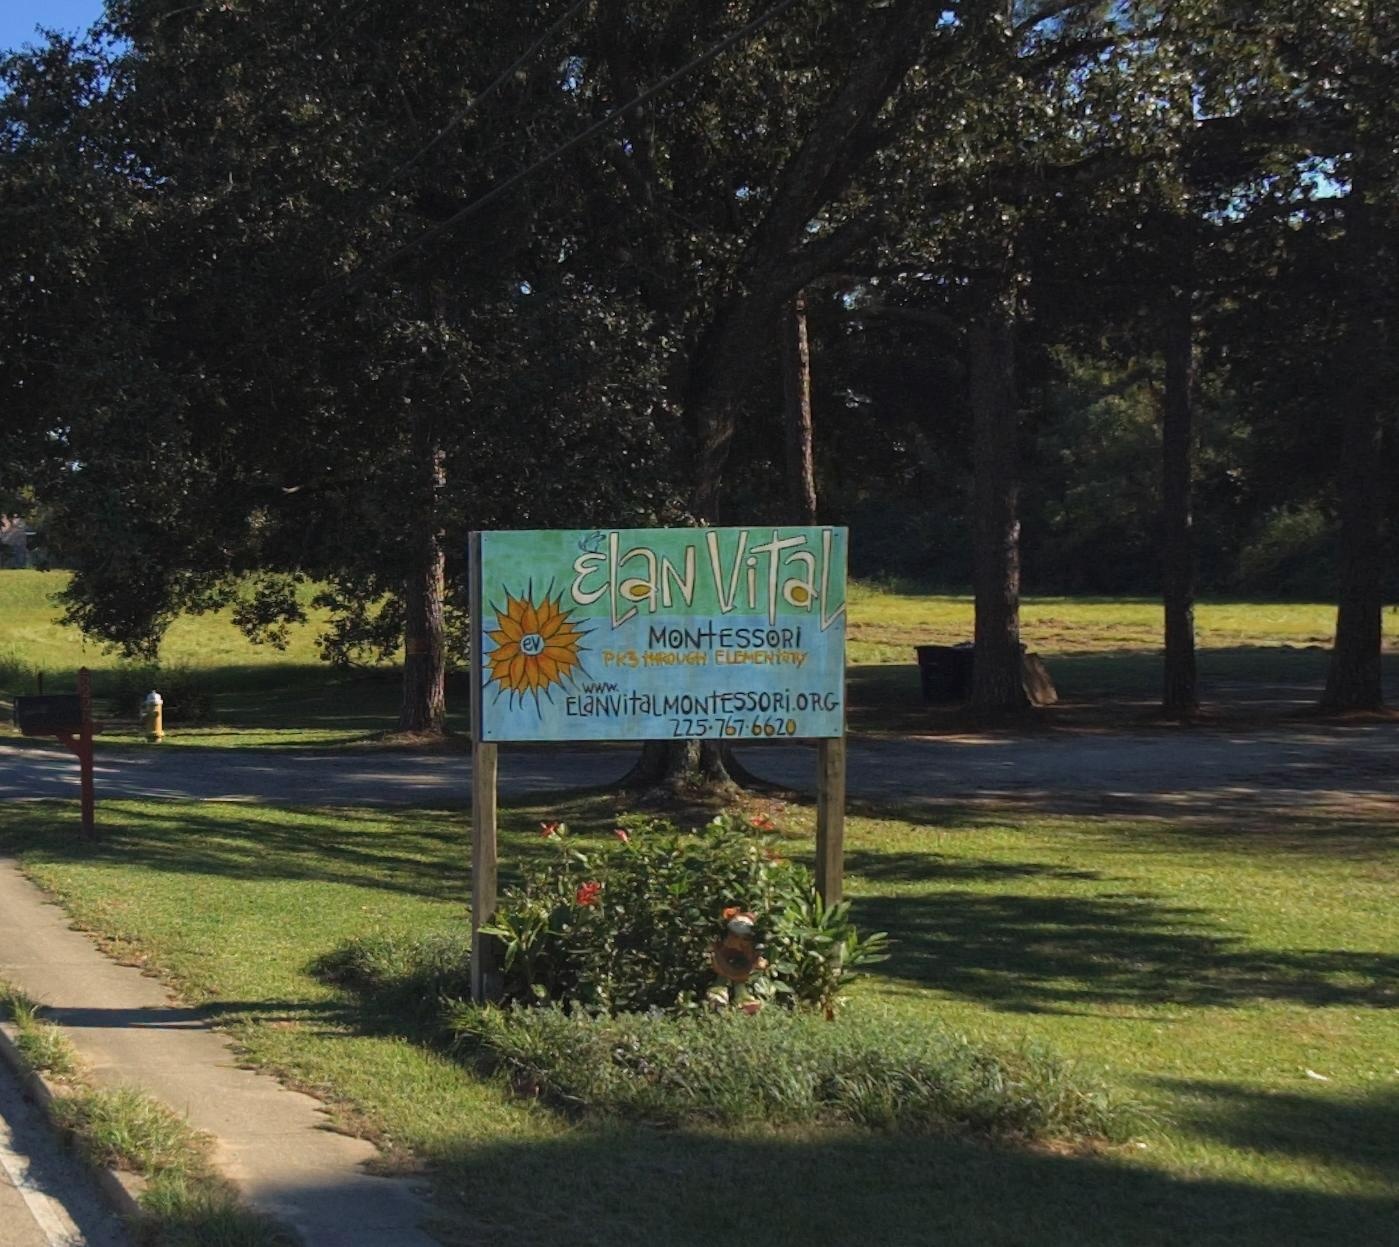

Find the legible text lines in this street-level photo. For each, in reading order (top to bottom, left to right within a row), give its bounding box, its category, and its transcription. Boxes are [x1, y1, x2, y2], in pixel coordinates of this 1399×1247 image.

[571, 529, 847, 635] BusinessName: ELaN ViTaL
[522, 635, 542, 652] None: ev
[648, 617, 803, 651] None: MONtESSORi
[601, 647, 810, 670] None: PK3 tHROUGH ELEMENTaRY
[581, 681, 620, 694] None: WWW.
[564, 687, 841, 718] None: ELaNVitaLMONtESSORi.ORG
[669, 714, 798, 738] None: 225-767-6620